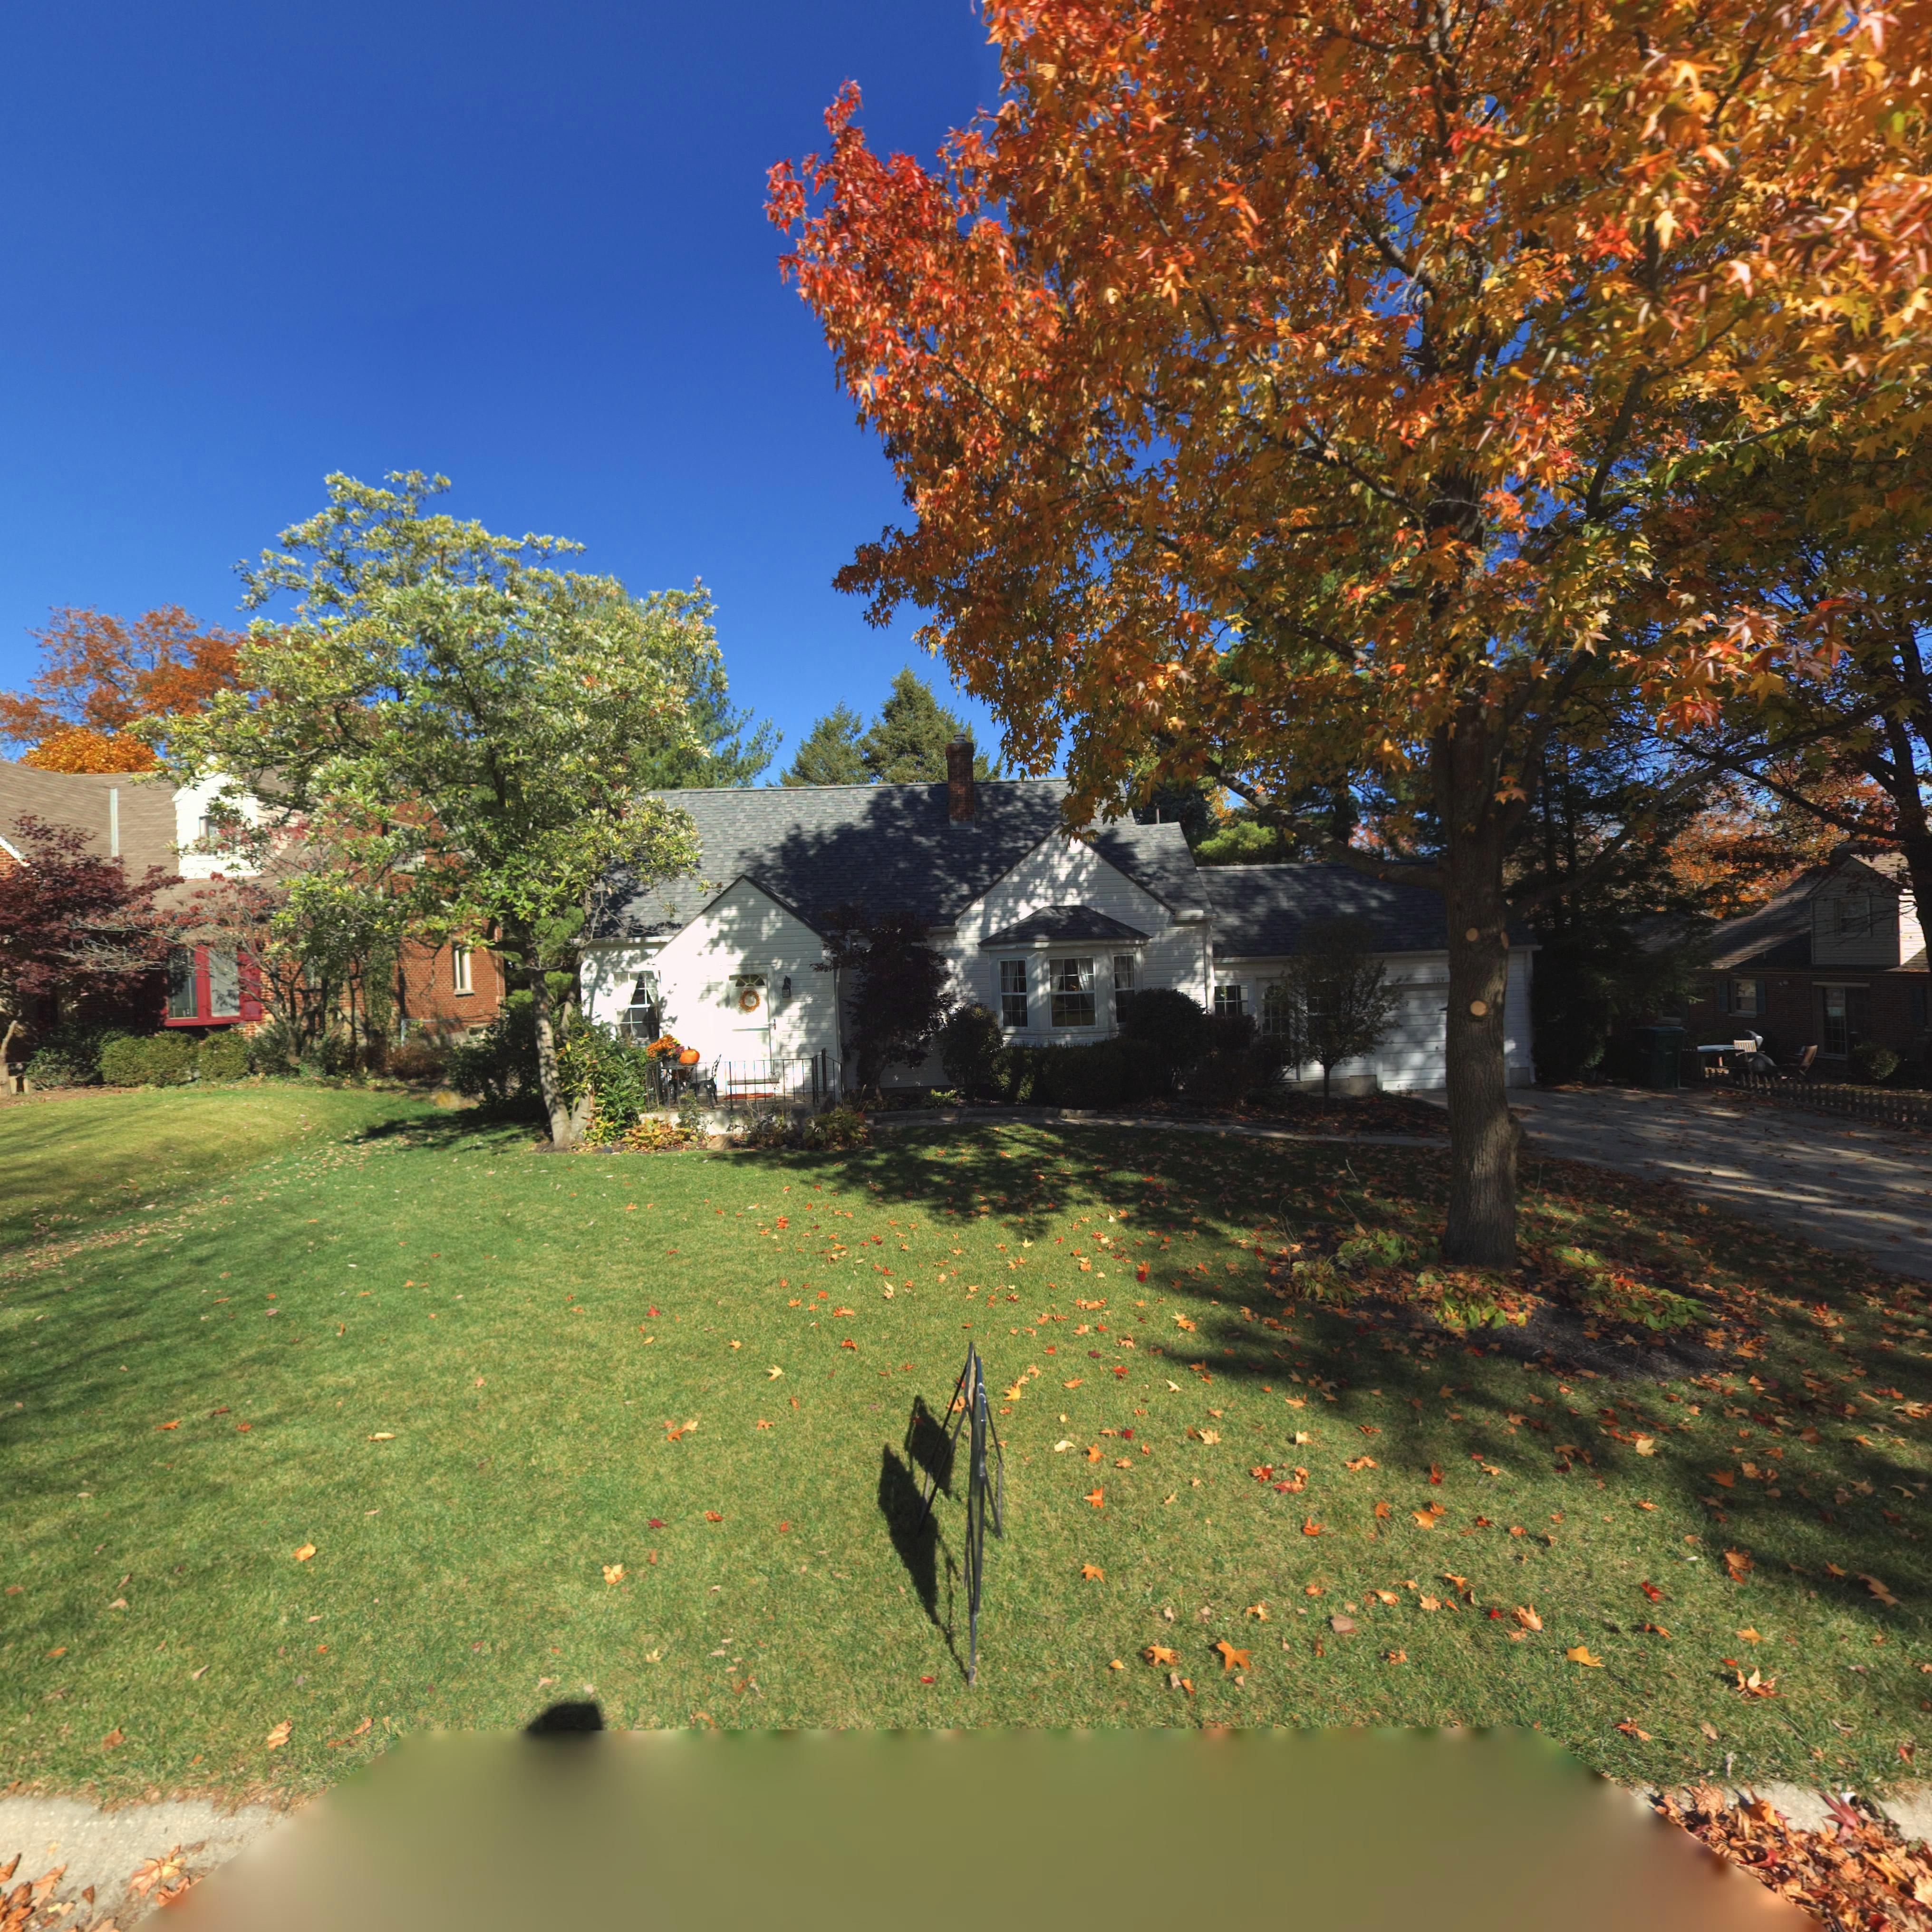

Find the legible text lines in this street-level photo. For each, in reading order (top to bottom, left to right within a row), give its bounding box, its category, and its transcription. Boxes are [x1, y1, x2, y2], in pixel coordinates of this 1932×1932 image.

[1432, 976, 1446, 984] StreetNumber: 109